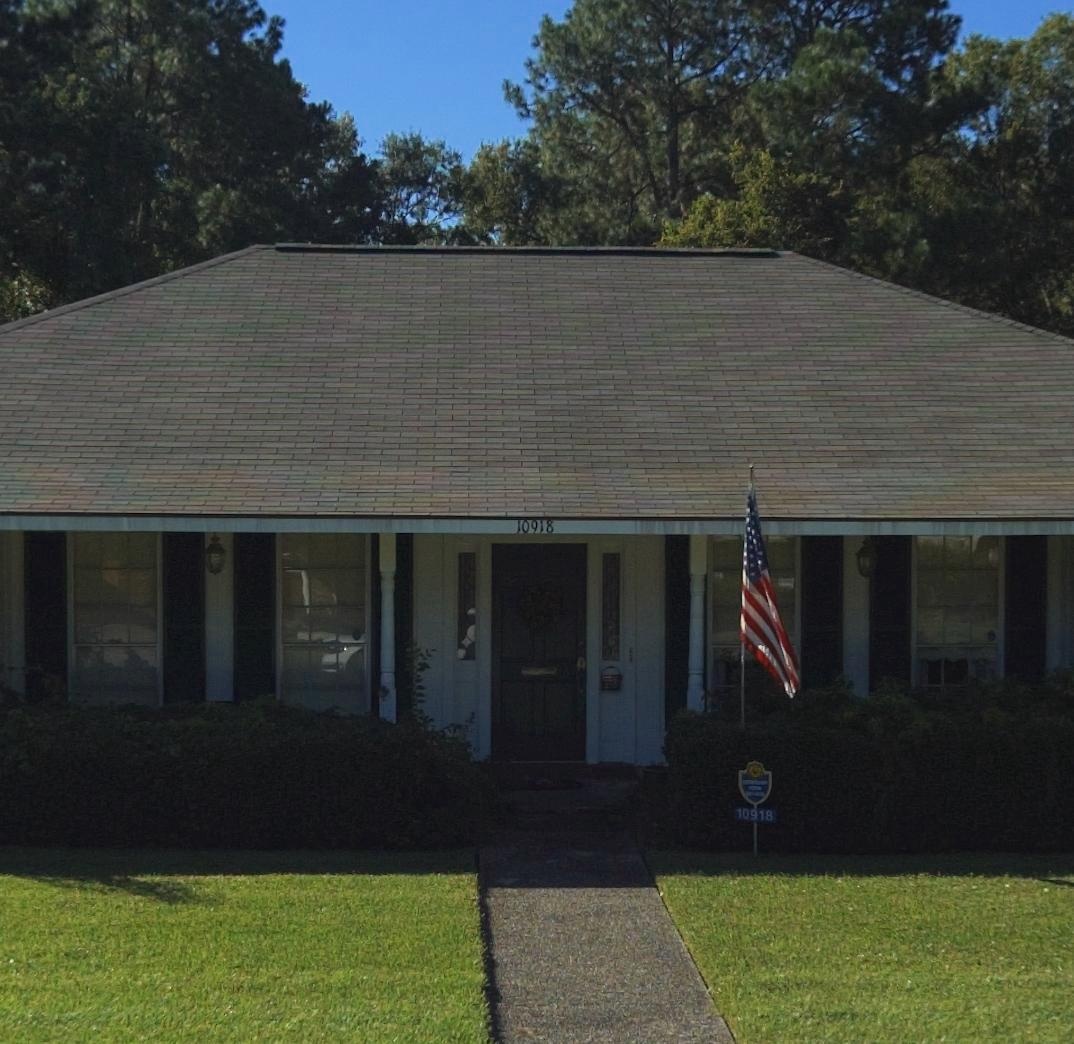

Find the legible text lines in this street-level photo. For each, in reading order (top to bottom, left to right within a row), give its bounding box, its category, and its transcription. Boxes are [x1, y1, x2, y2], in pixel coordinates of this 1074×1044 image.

[515, 518, 556, 535] StreetNumber: 10918
[734, 805, 775, 823] StreetNumber: 10918